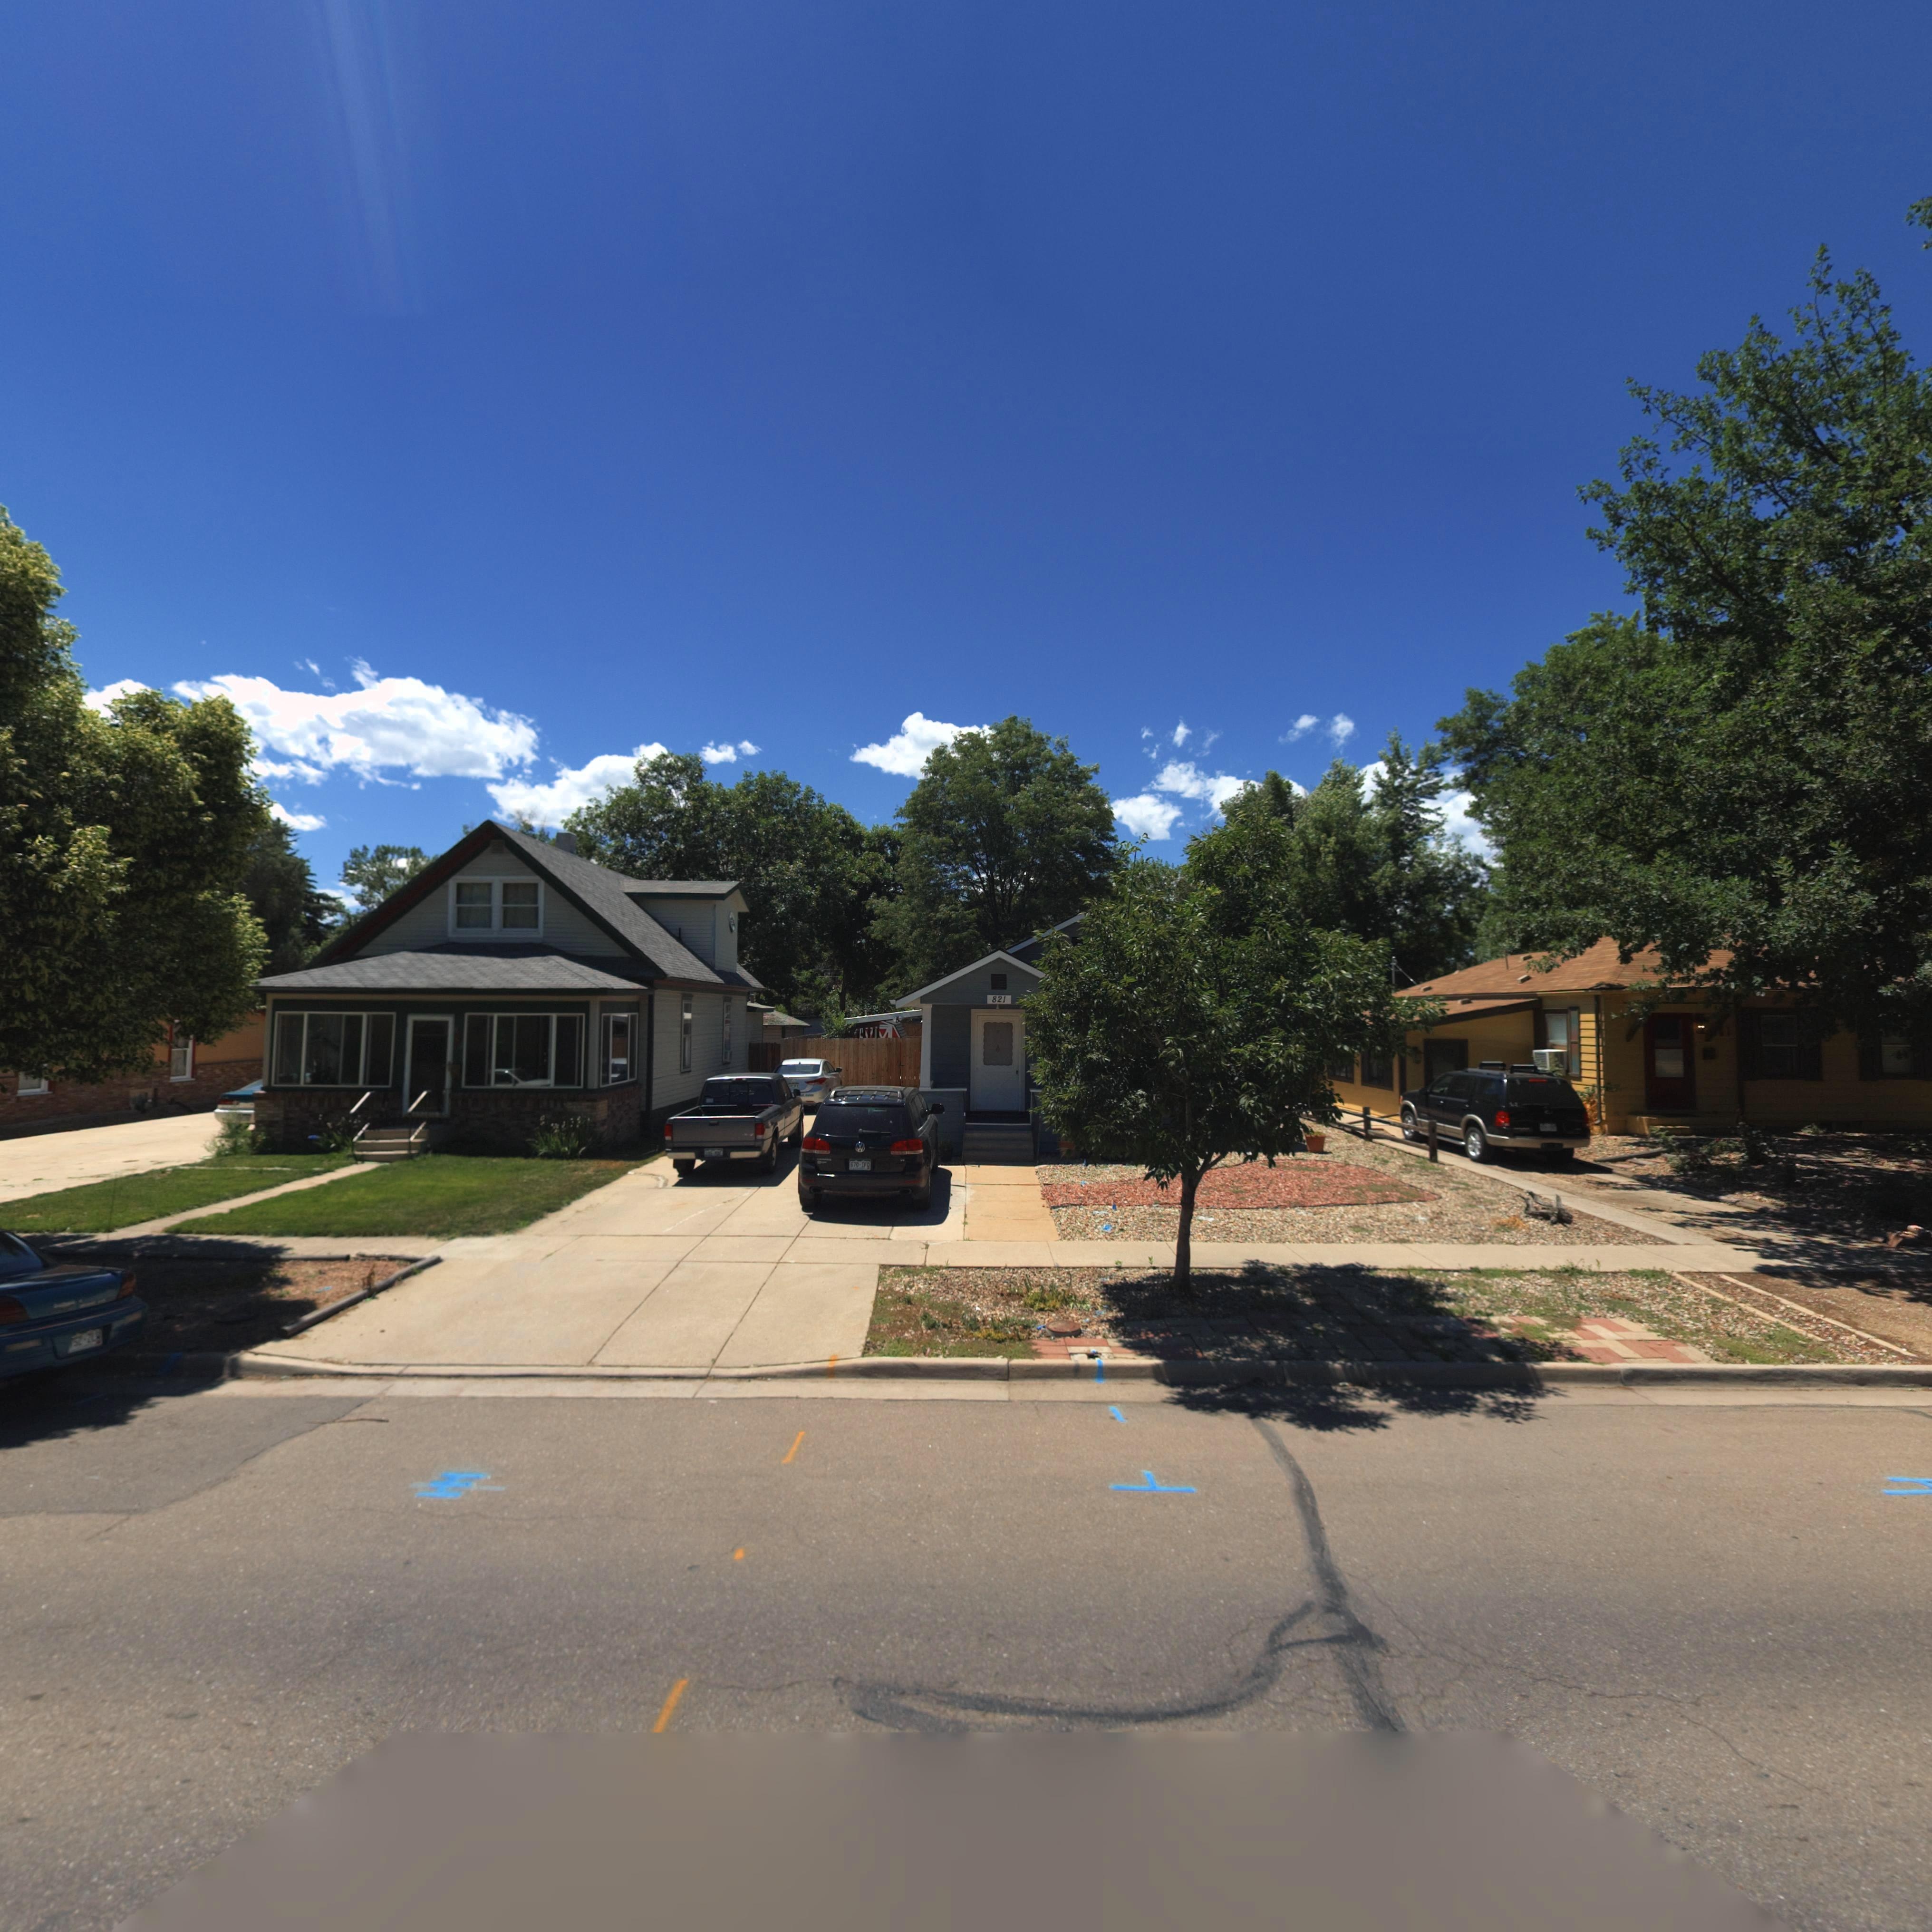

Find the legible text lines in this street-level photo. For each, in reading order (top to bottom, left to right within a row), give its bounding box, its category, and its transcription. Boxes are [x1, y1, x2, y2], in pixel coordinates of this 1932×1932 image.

[991, 995, 1005, 1003] StreetNumber: 821